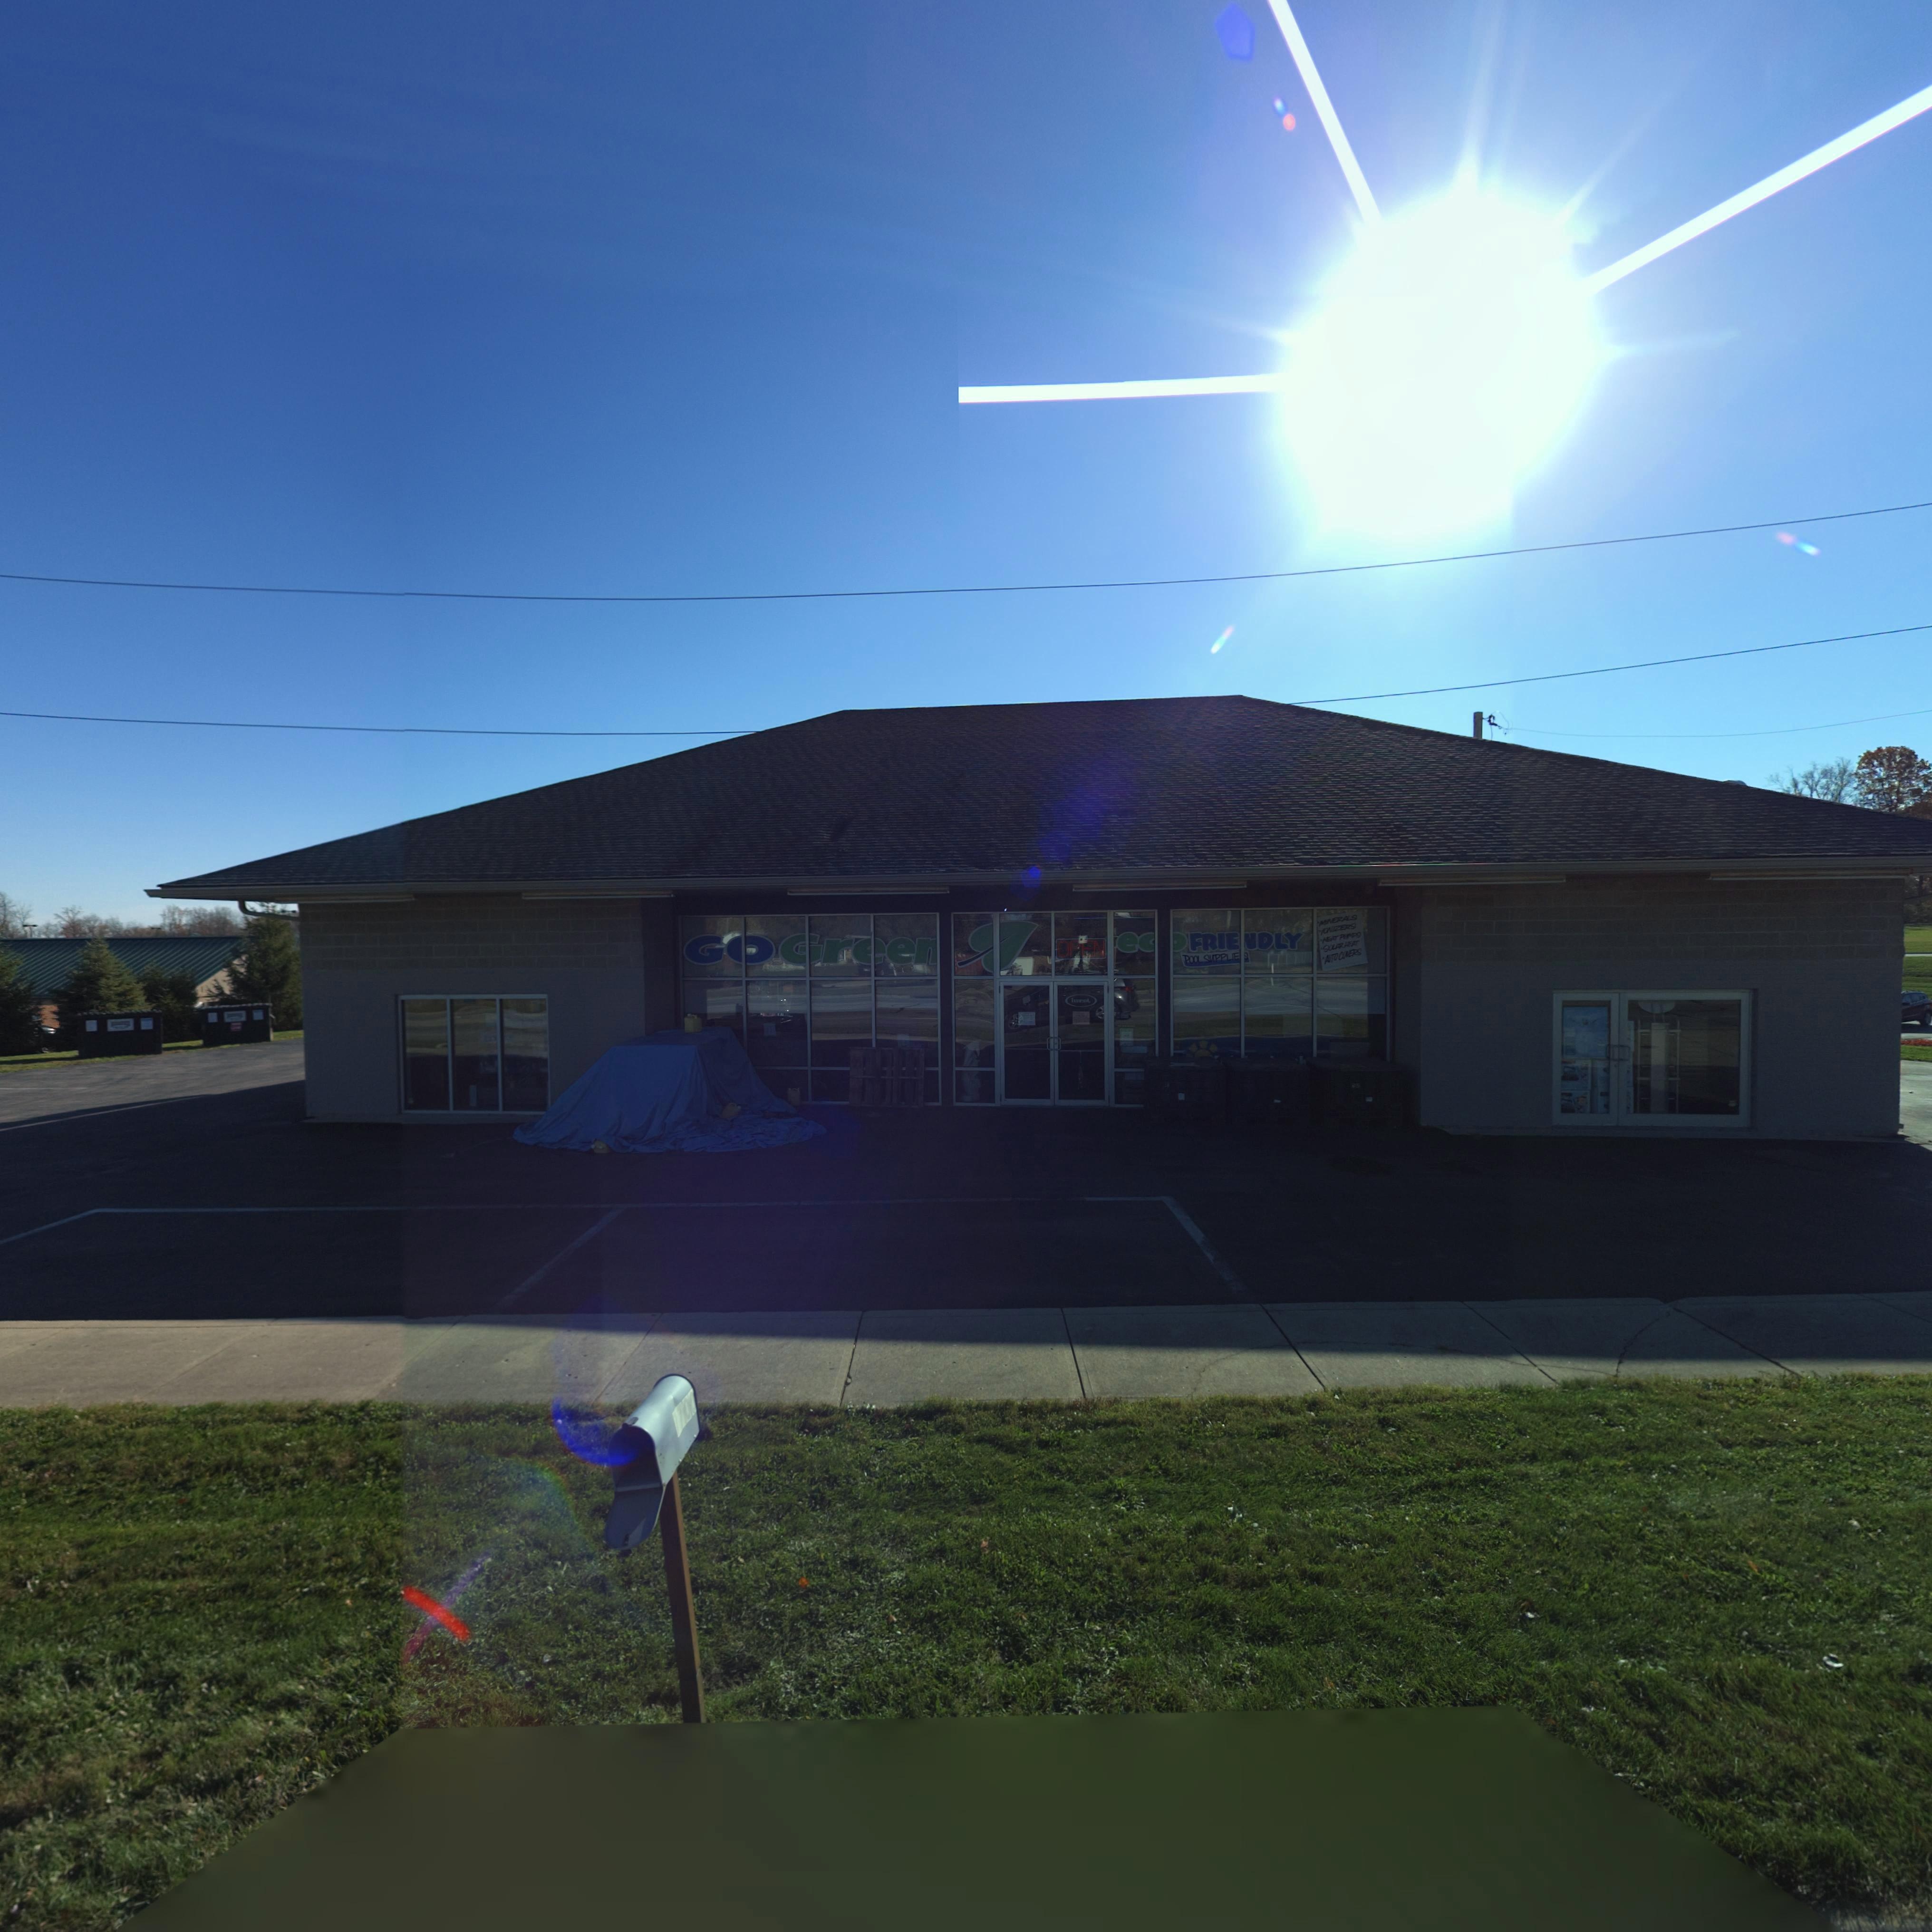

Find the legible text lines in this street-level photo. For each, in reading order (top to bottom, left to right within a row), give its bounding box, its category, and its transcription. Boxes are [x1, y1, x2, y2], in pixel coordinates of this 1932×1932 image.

[1041, 967, 1065, 973] StreetNumber: 77*00
[675, 1390, 697, 1433] StreetNumber: 700